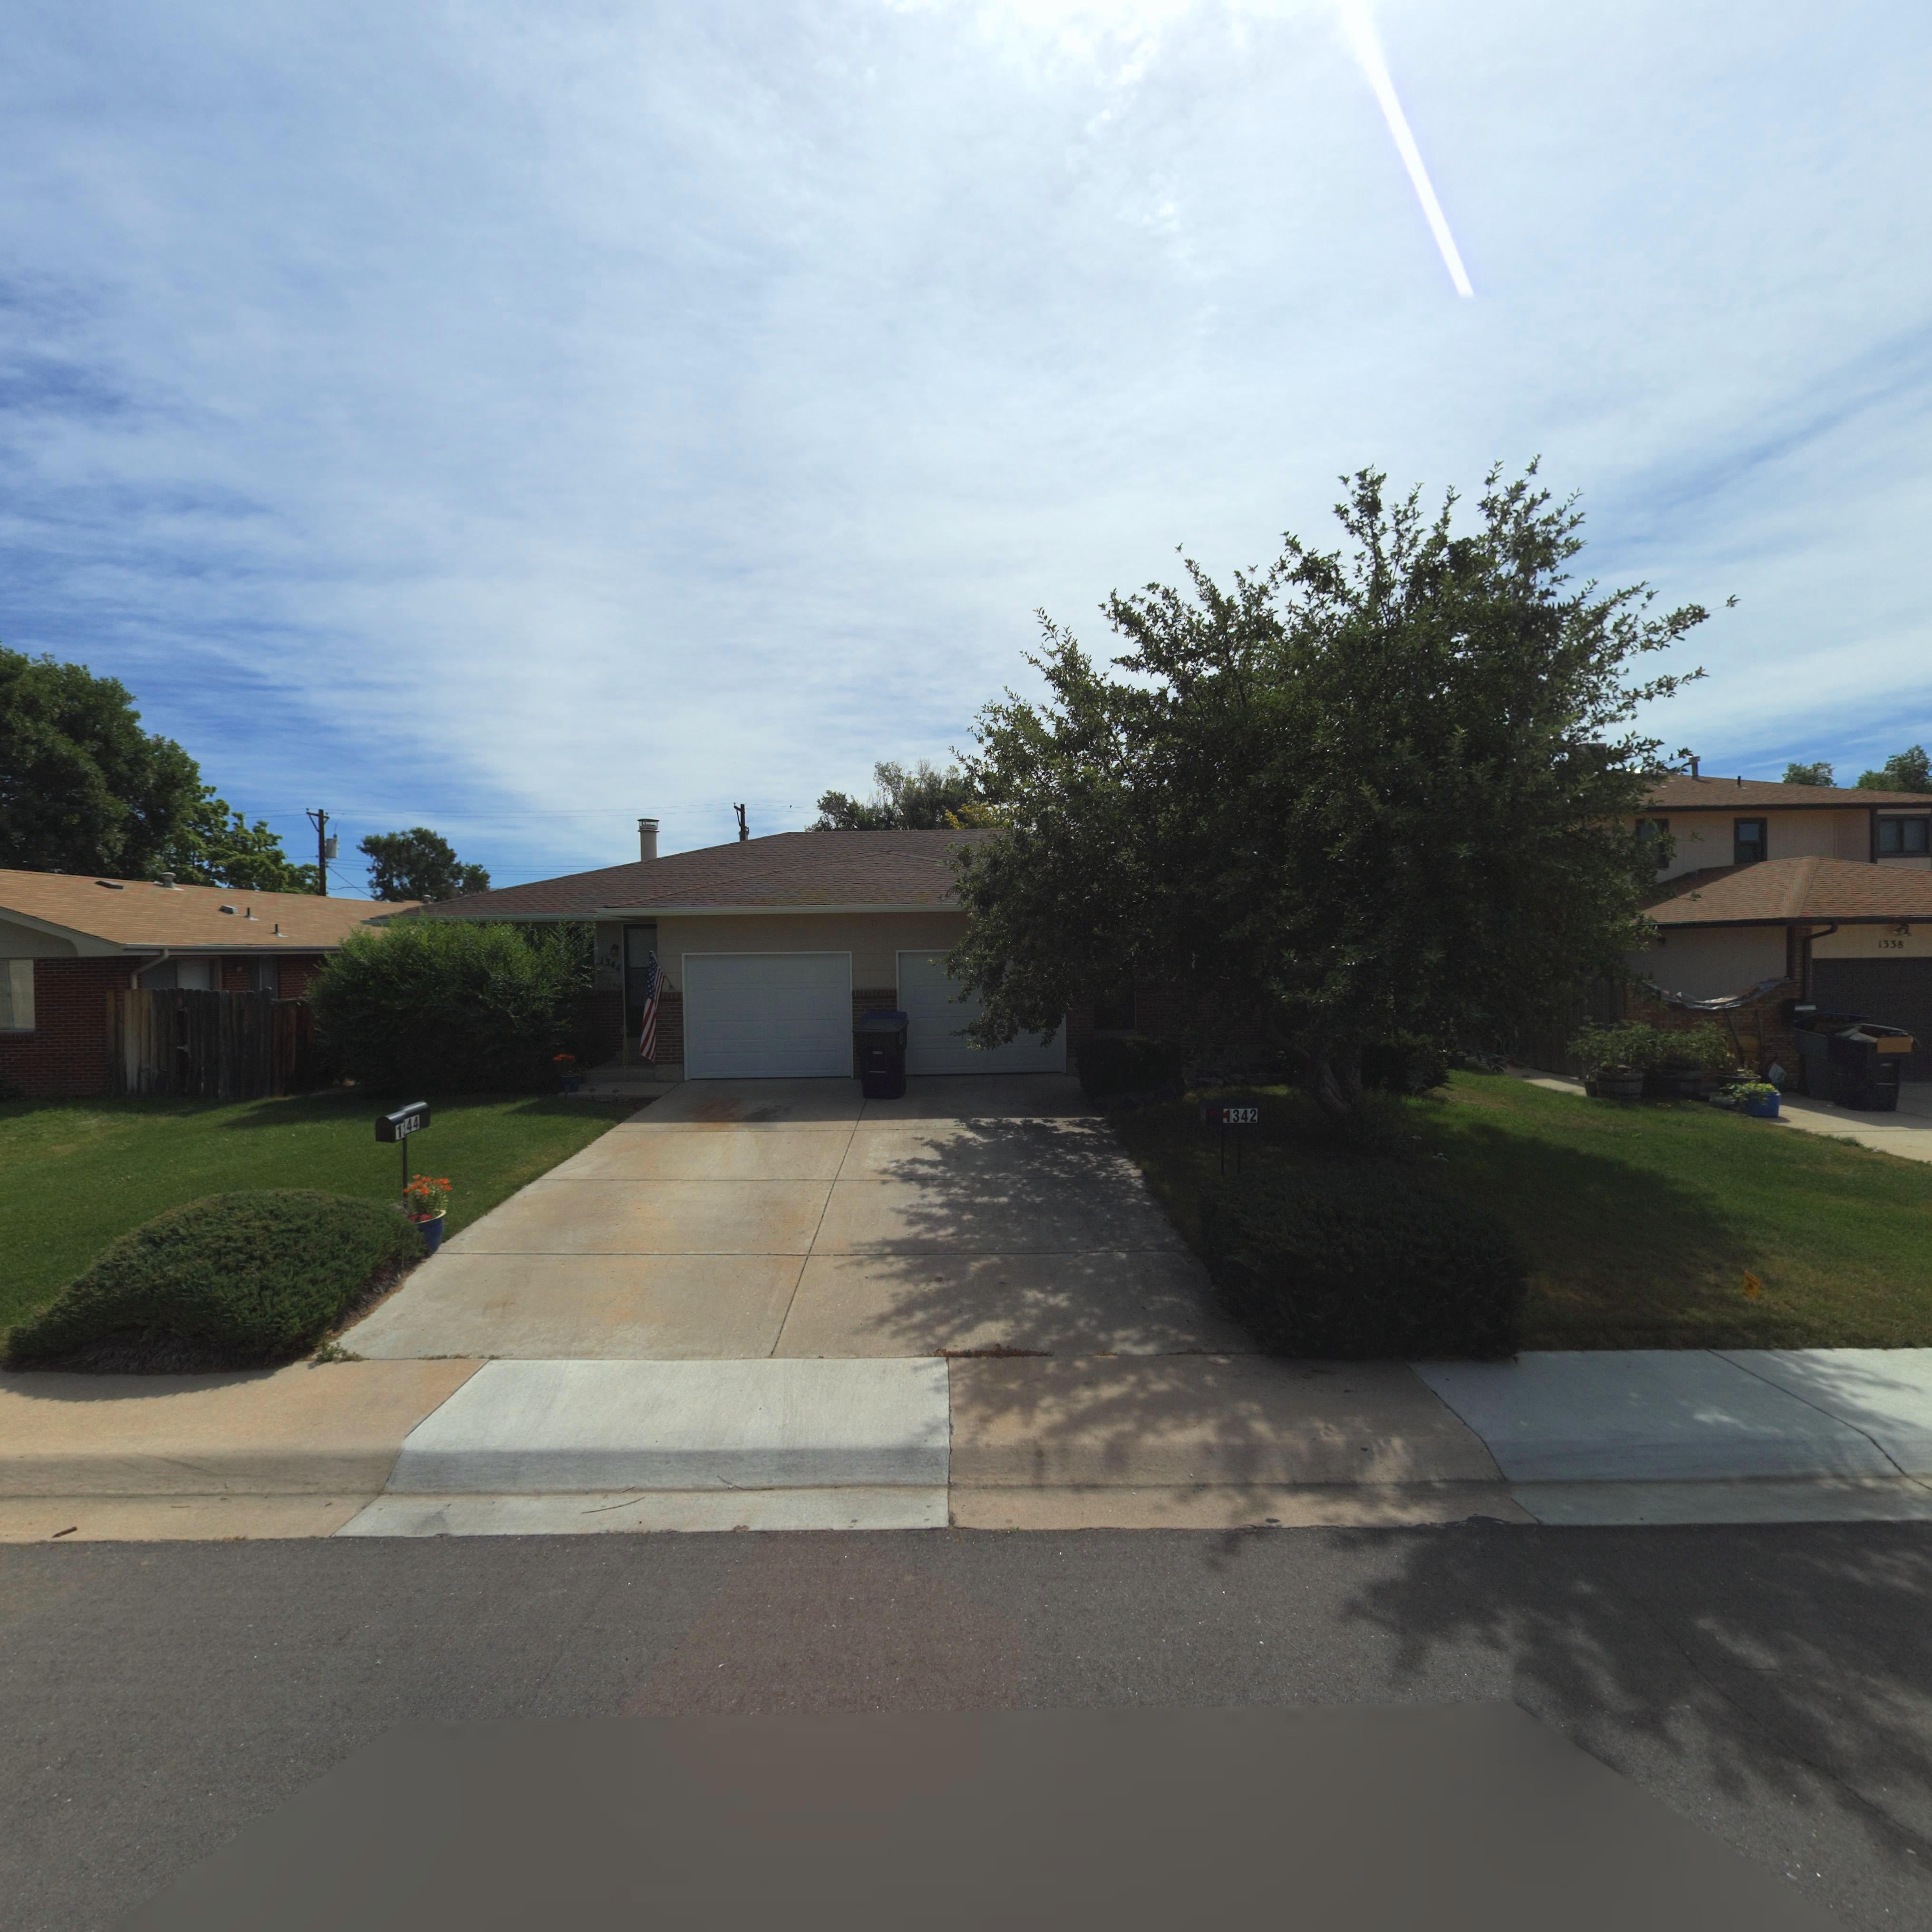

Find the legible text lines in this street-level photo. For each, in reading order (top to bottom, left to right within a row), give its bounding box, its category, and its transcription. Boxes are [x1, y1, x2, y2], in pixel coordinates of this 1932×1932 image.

[1877, 939, 1904, 949] StreetNumber: 1338
[599, 956, 622, 973] StreetNumber: 1344
[1224, 1108, 1258, 1123] StreetNumber: *342
[396, 1115, 420, 1139] StreetNumber: 1*44